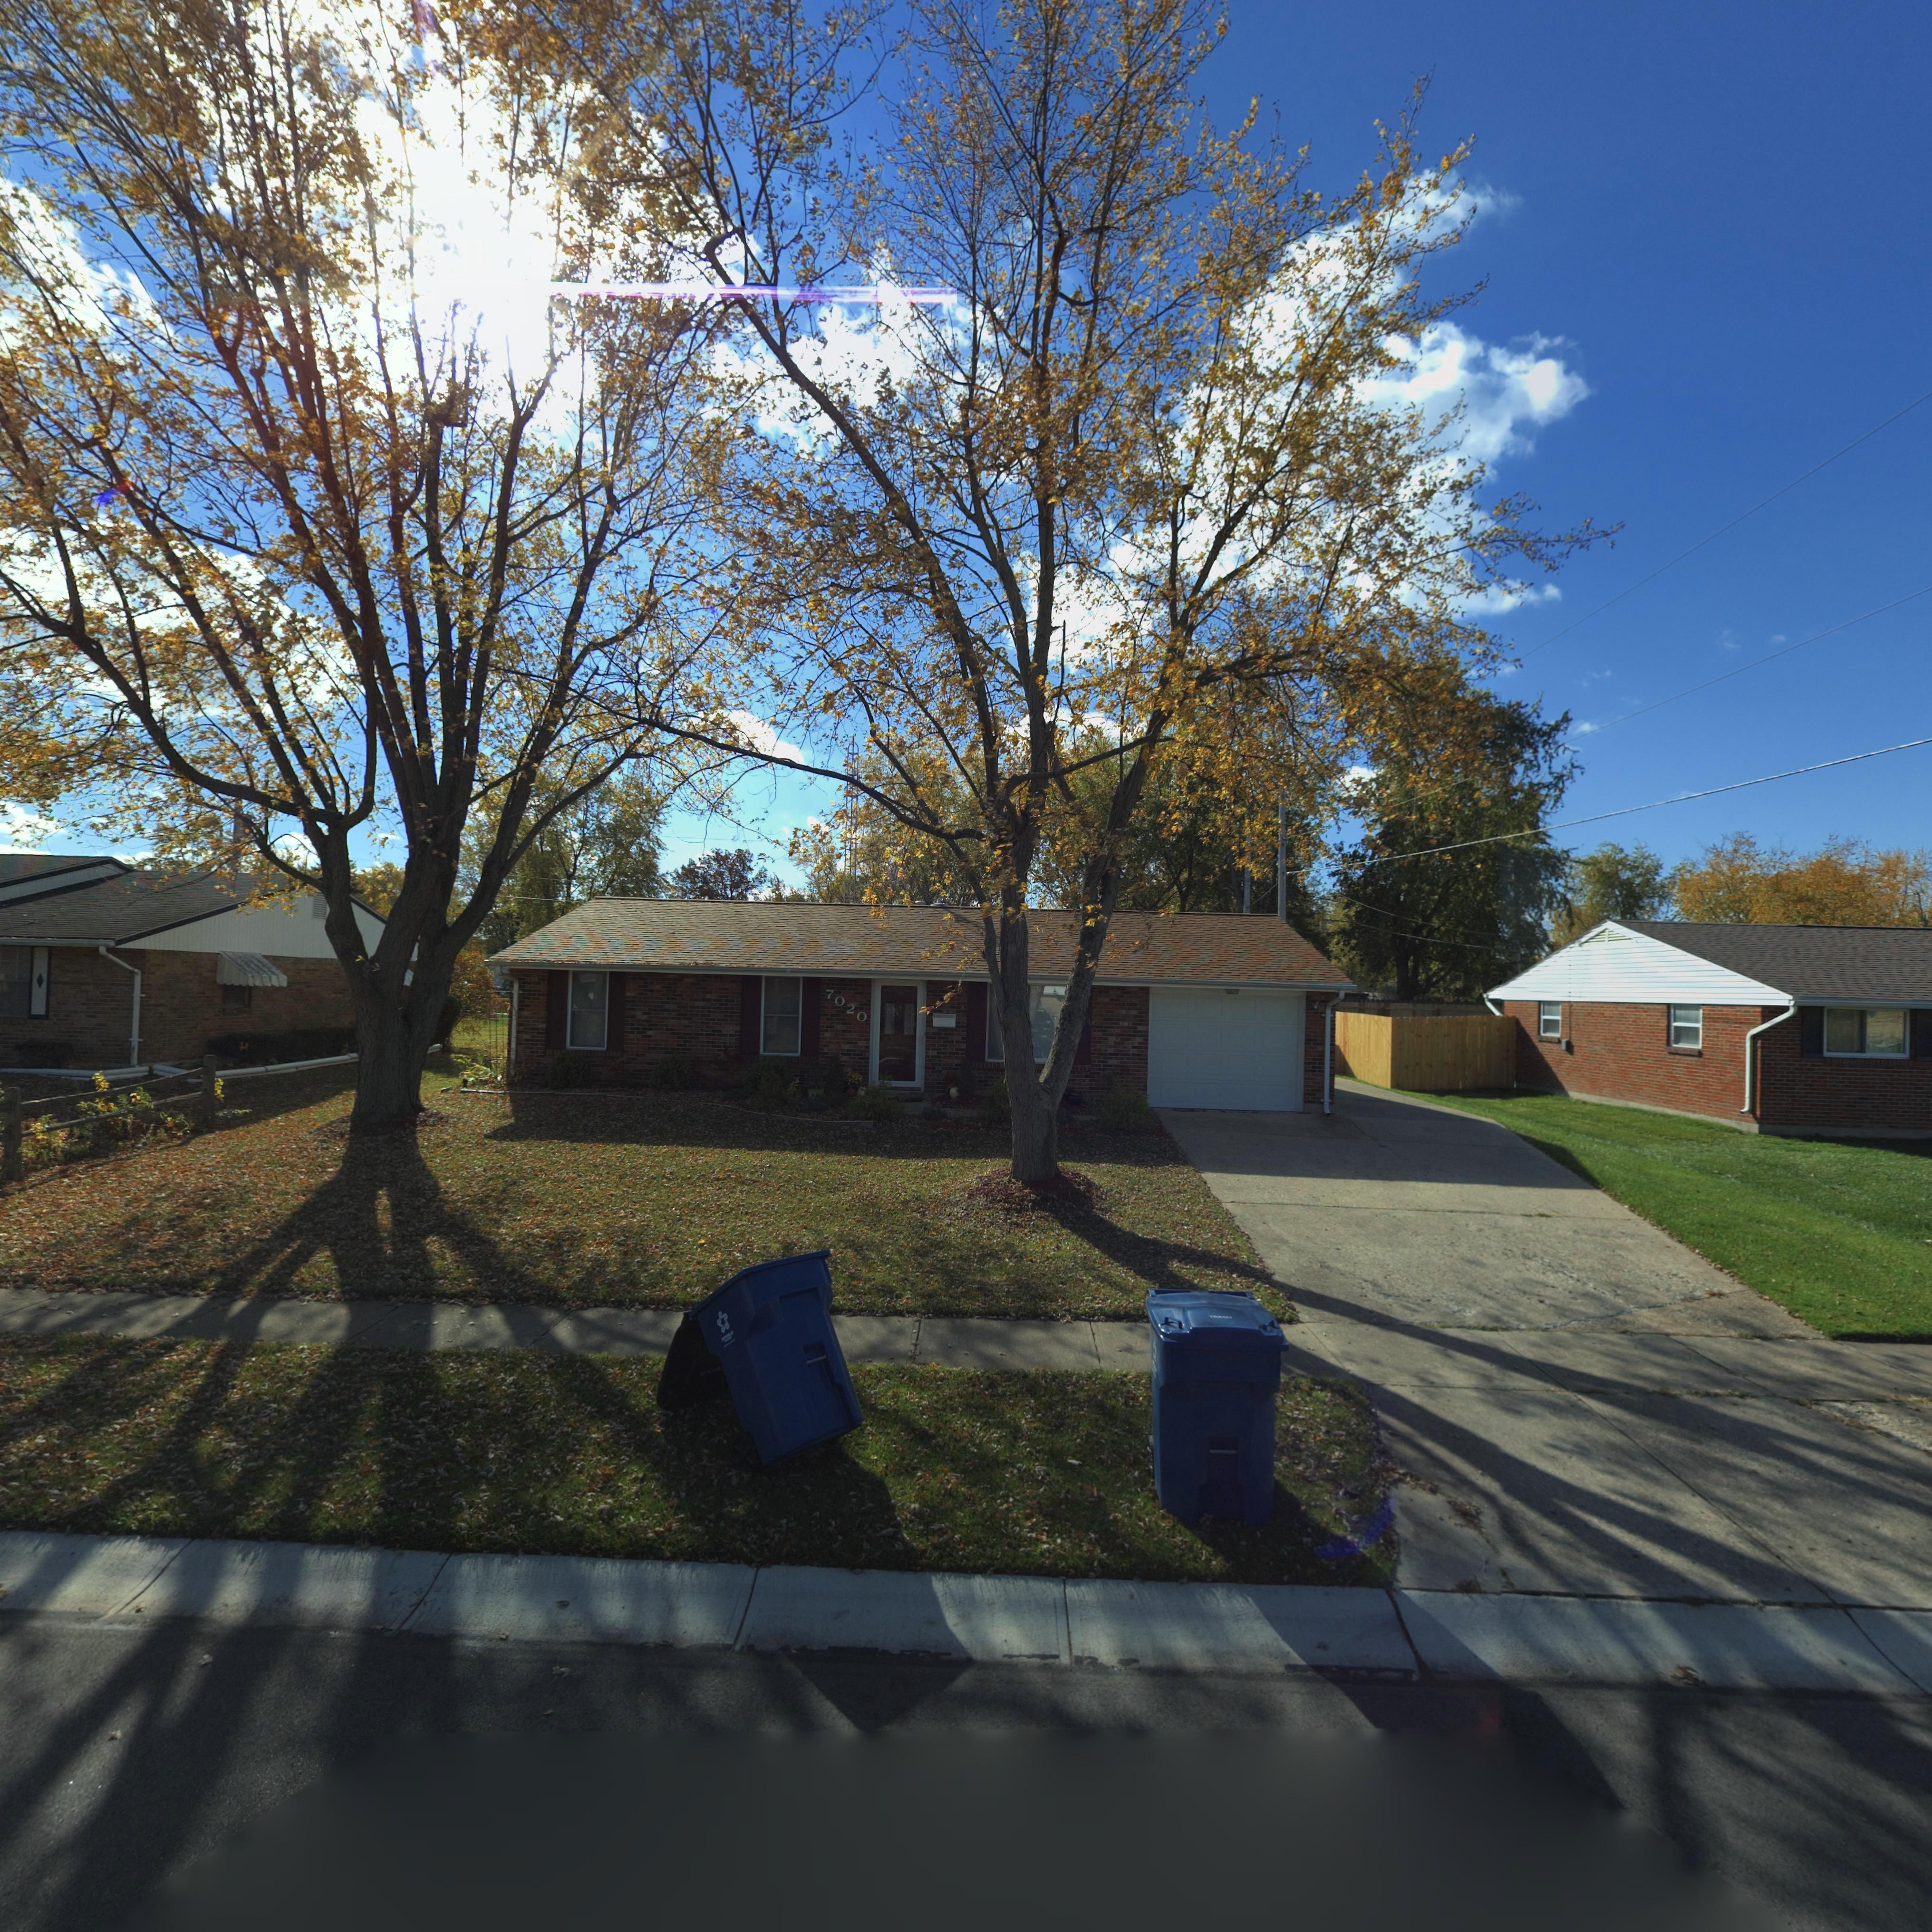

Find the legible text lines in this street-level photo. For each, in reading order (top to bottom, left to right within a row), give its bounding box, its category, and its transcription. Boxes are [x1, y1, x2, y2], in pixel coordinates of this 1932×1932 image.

[825, 988, 868, 1023] StreetNumber: 7020